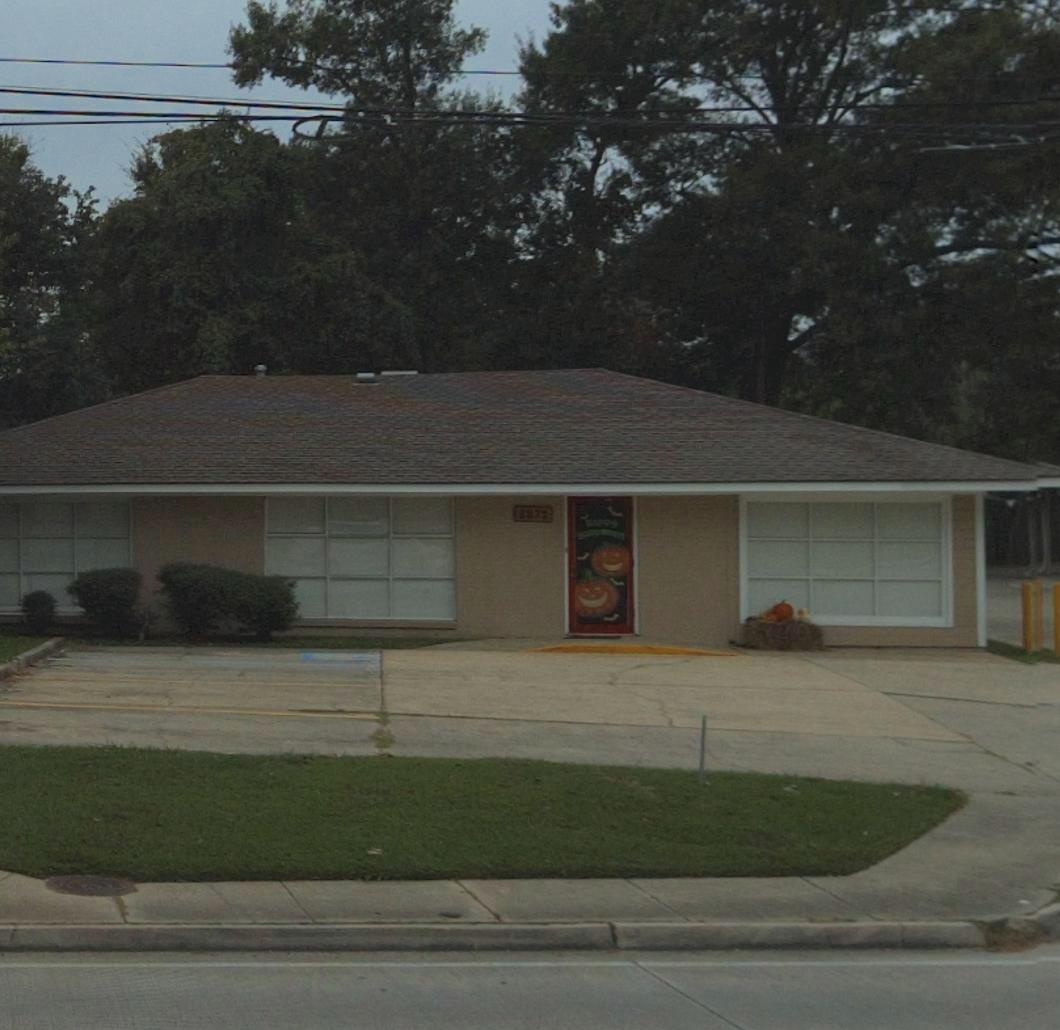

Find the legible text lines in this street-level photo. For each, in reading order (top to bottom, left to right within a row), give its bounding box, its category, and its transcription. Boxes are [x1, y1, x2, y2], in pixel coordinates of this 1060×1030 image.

[517, 507, 551, 520] StreetNumber: 8032